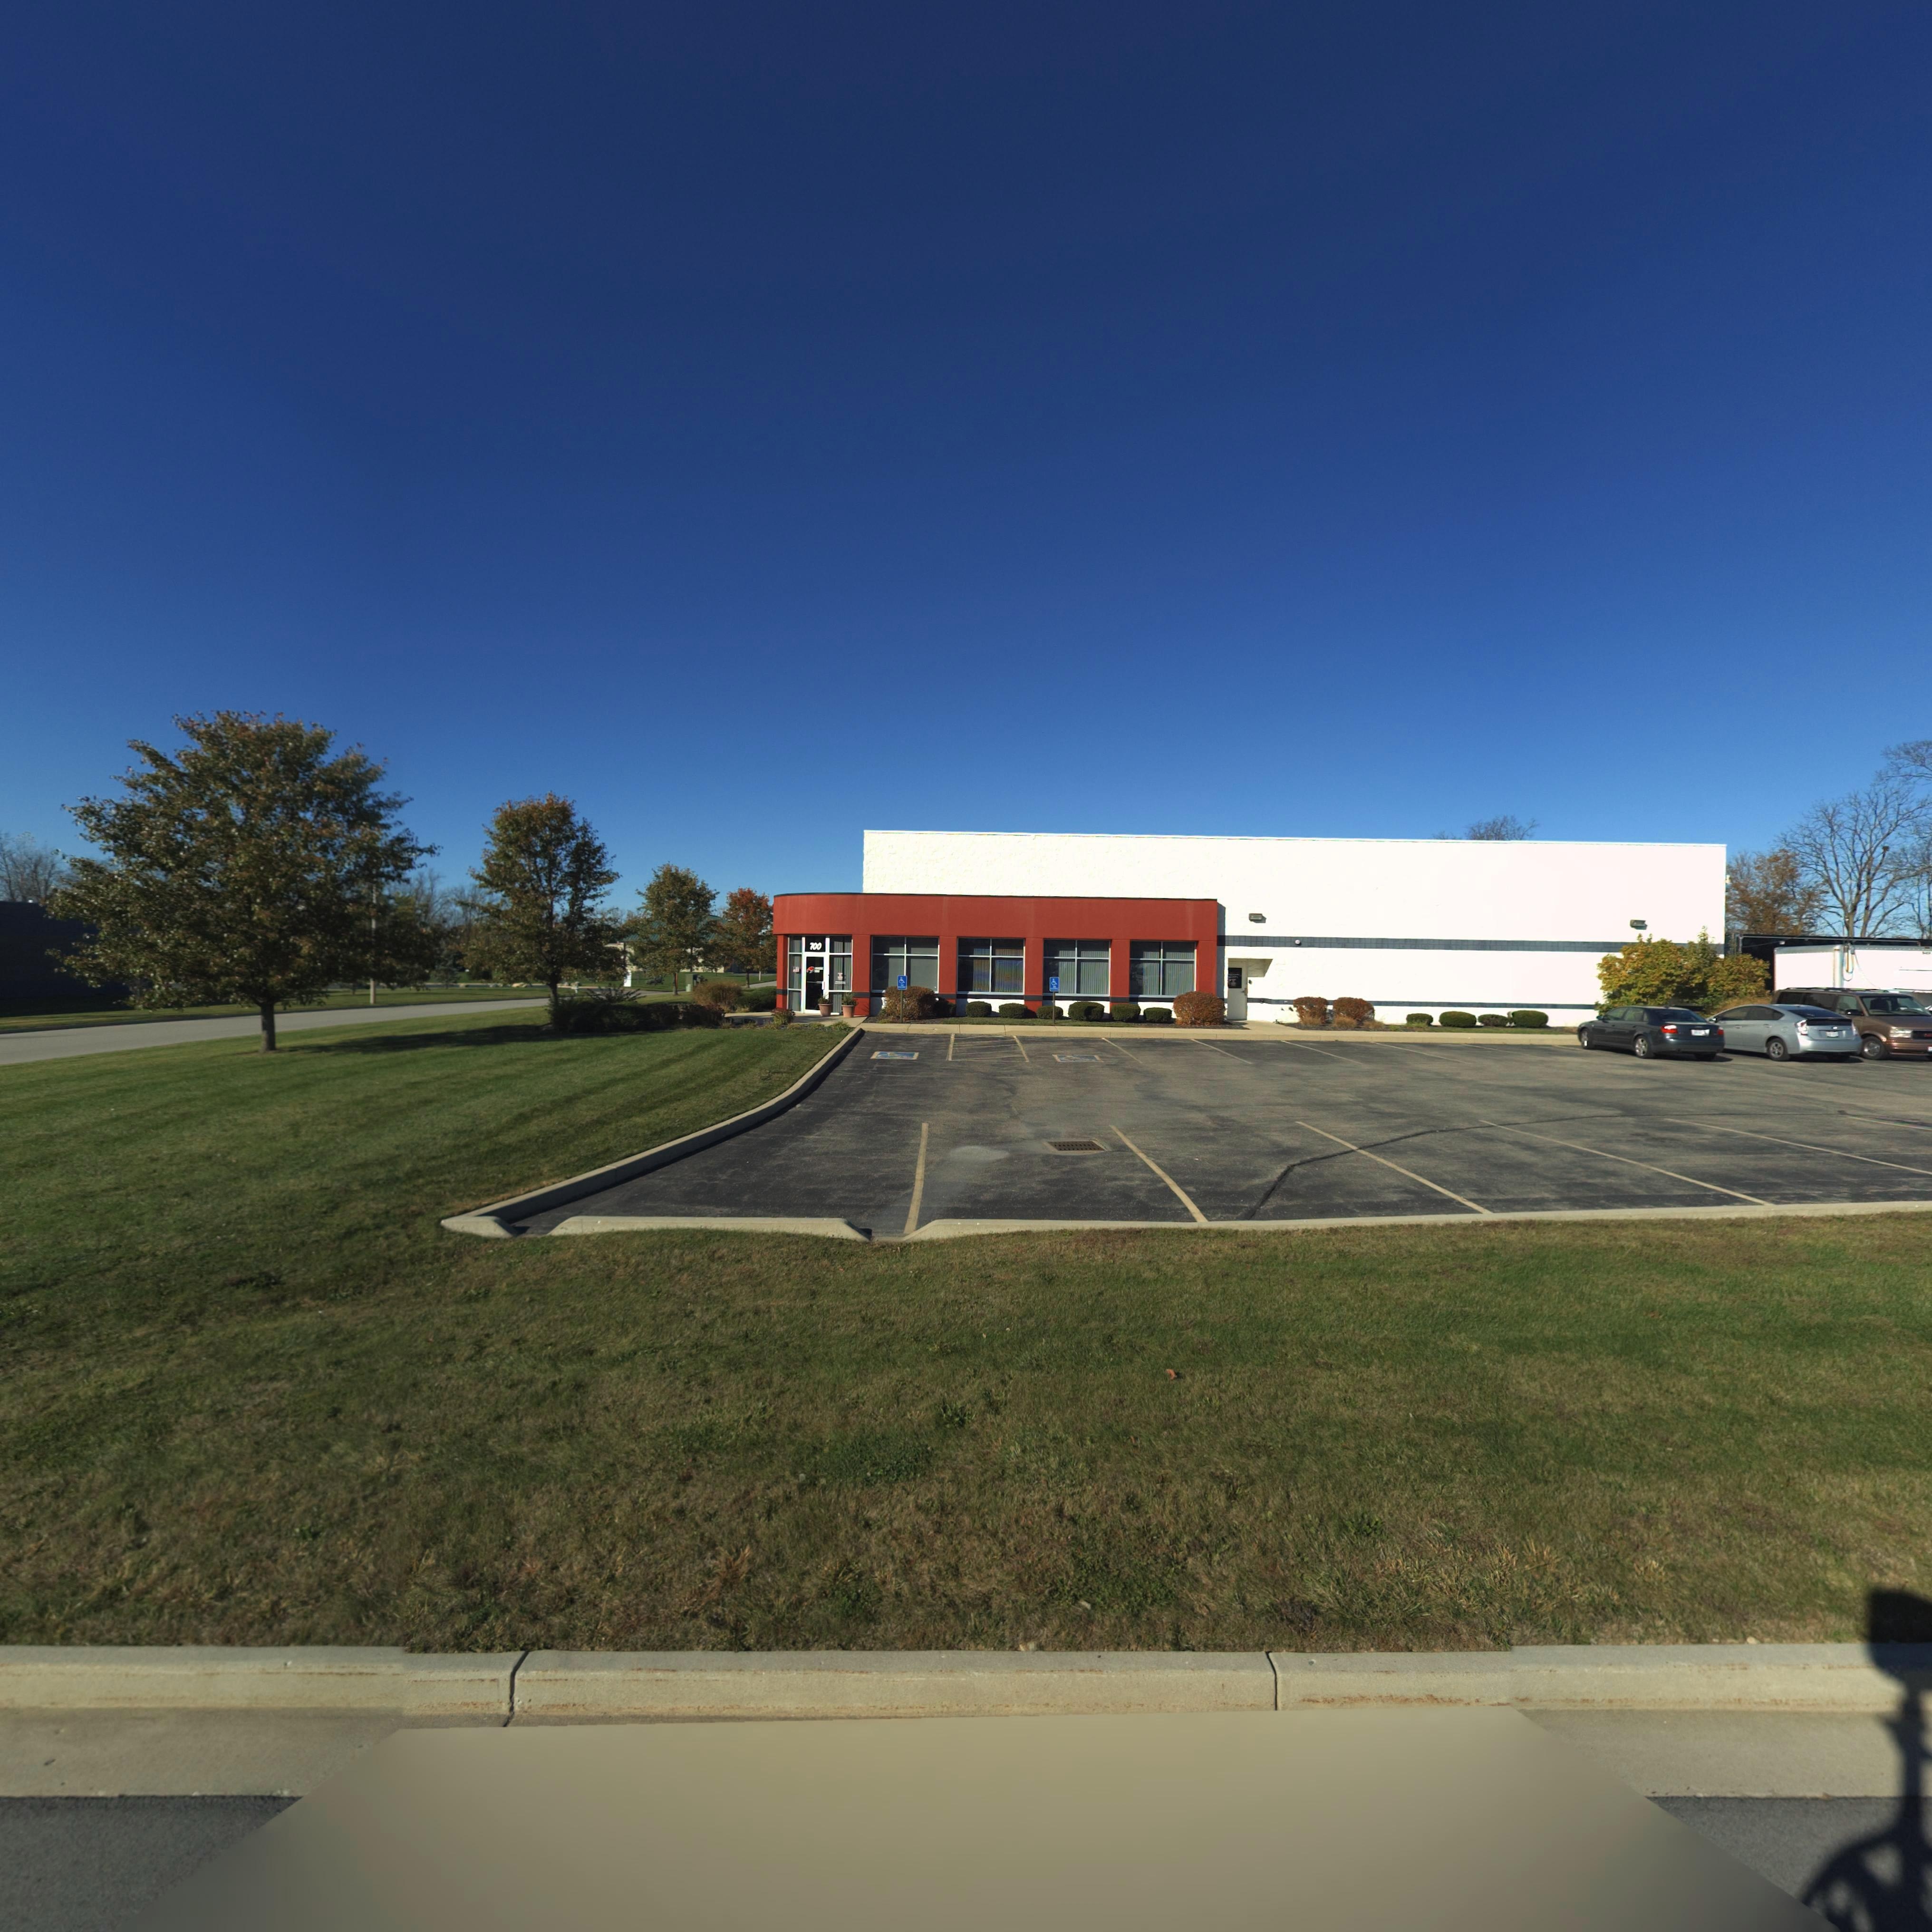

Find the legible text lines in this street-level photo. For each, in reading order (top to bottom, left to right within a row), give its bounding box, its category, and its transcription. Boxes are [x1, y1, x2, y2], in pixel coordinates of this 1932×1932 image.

[809, 942, 822, 950] StreetNumber: 700